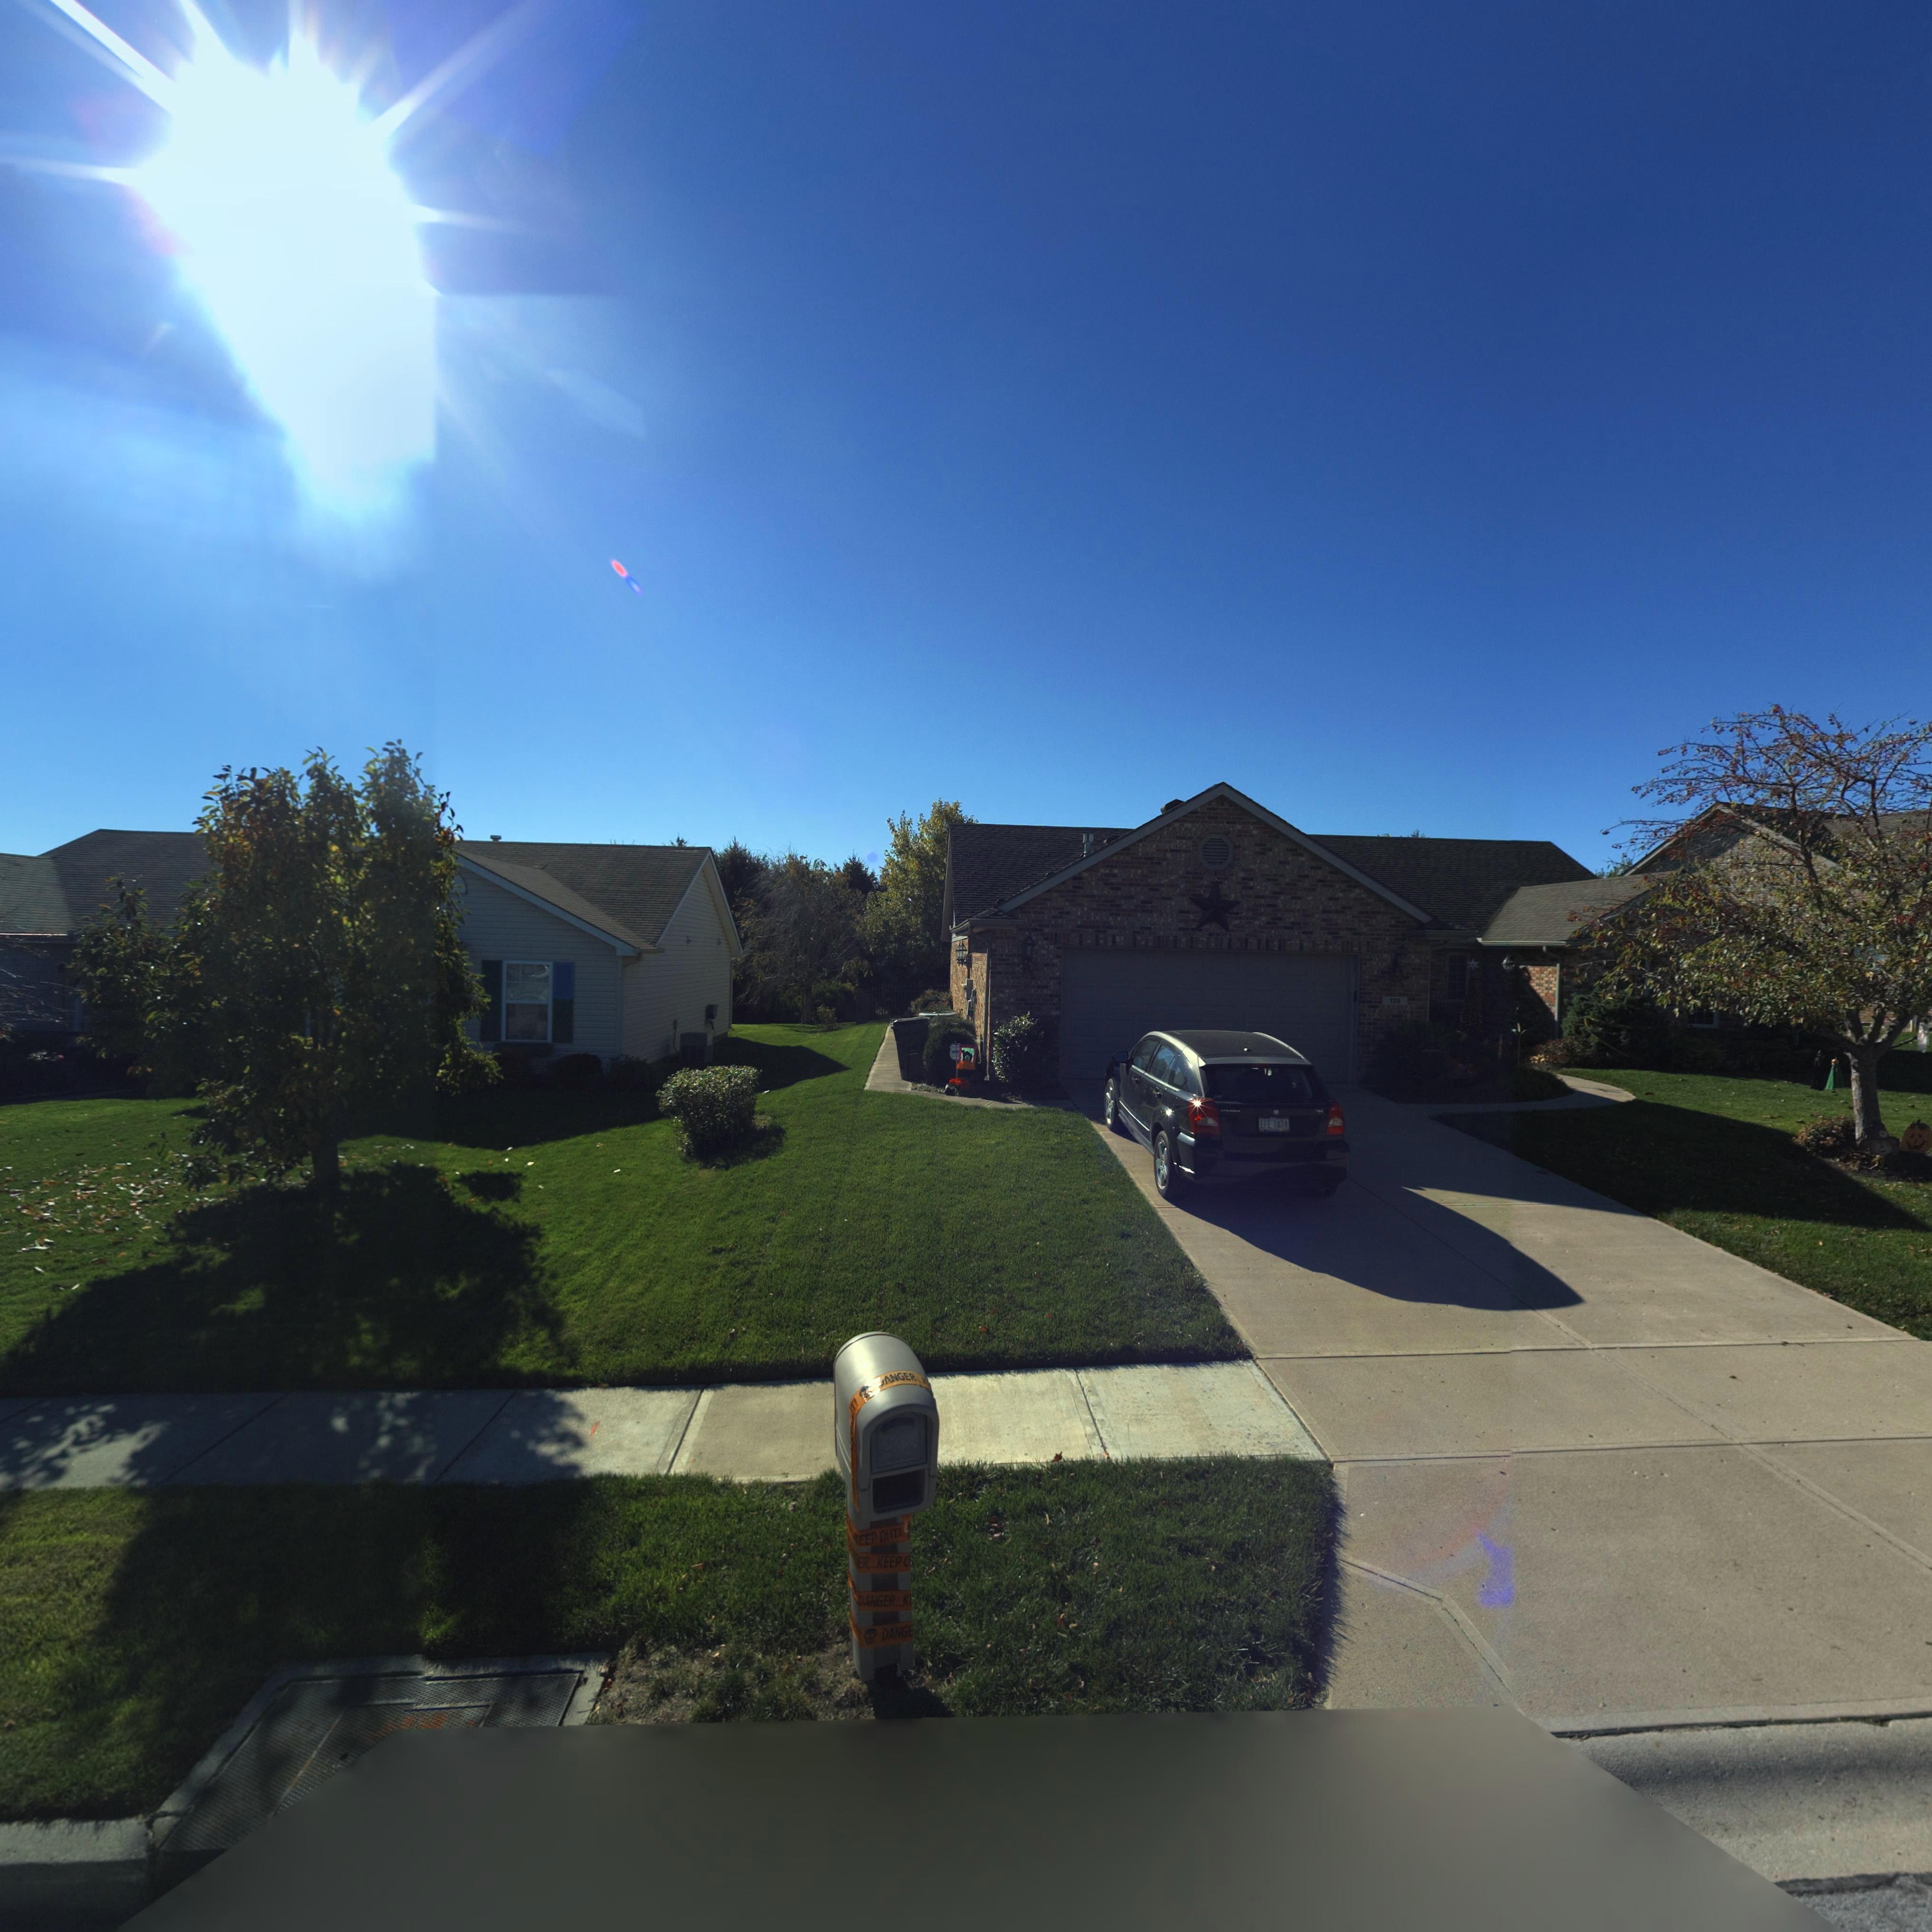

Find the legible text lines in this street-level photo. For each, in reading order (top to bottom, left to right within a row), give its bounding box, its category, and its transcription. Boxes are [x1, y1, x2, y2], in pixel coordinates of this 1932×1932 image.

[1389, 997, 1401, 1004] StreetNumber: 139
[1258, 1117, 1289, 1130] None: EFE 7474